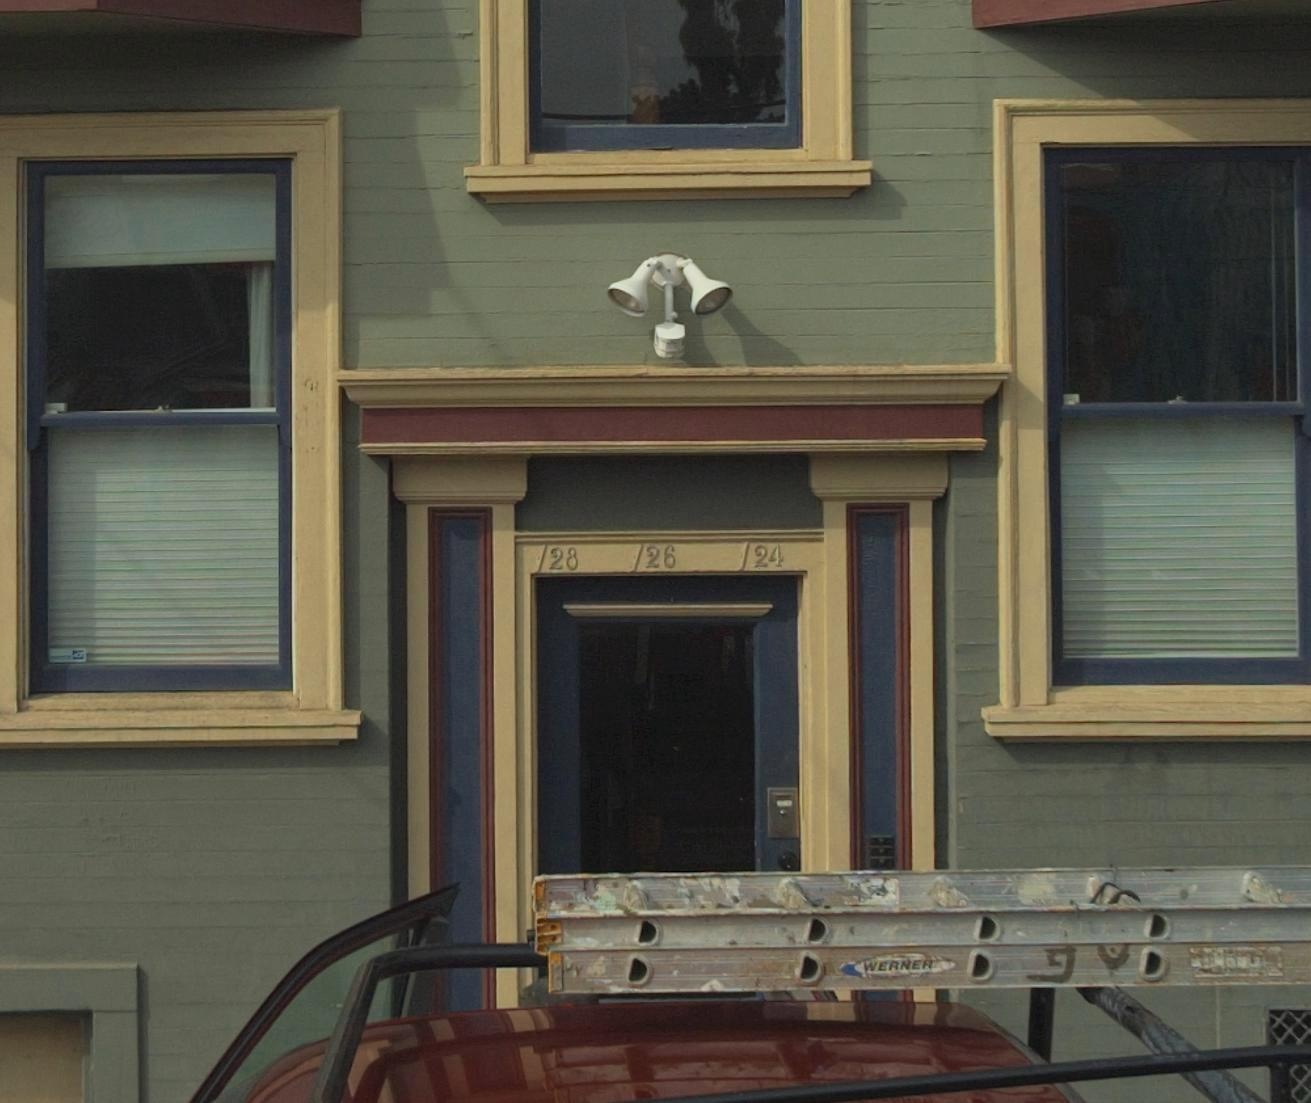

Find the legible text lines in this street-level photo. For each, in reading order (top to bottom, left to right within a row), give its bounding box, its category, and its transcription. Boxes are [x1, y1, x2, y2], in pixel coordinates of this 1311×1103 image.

[536, 542, 580, 575] StreetNumber: 128
[628, 542, 678, 572] StreetNumber: 126
[737, 540, 785, 572] StreetNumber: 124
[861, 959, 935, 973] None: WERNER